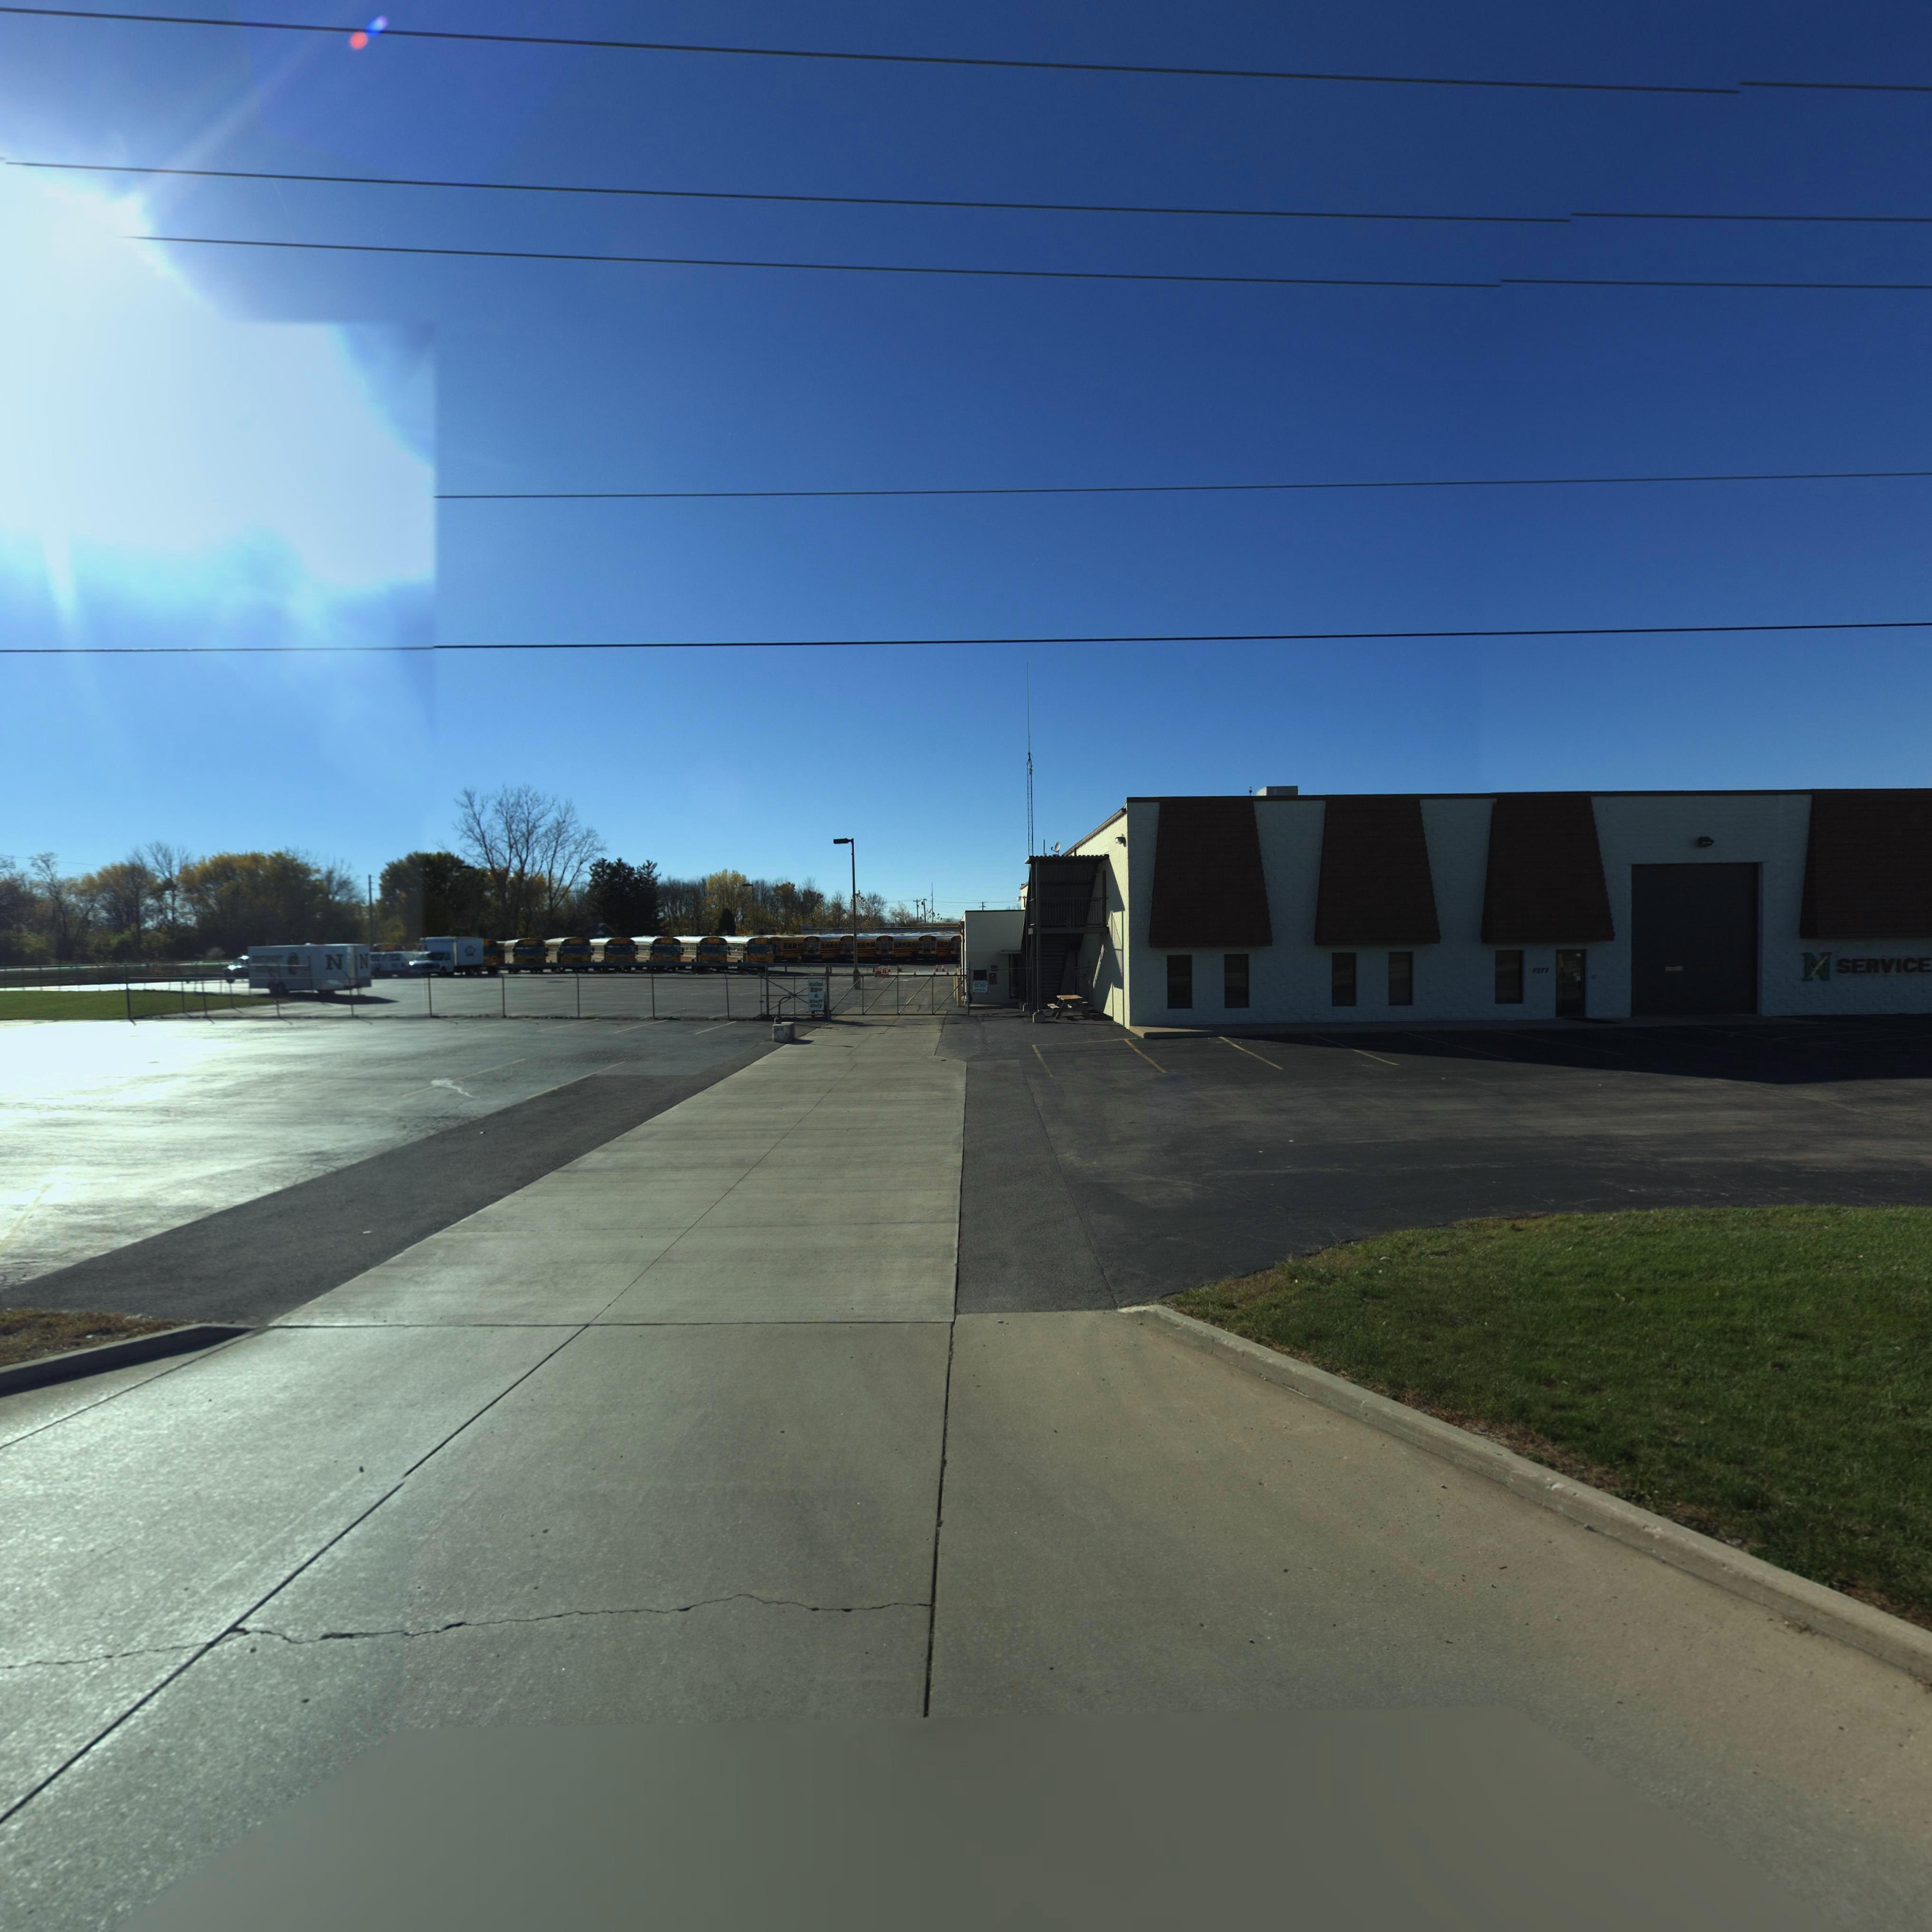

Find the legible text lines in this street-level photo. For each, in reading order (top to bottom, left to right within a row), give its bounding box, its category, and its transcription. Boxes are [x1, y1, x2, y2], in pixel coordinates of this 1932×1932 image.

[1532, 967, 1549, 974] StreetNumber: 7277